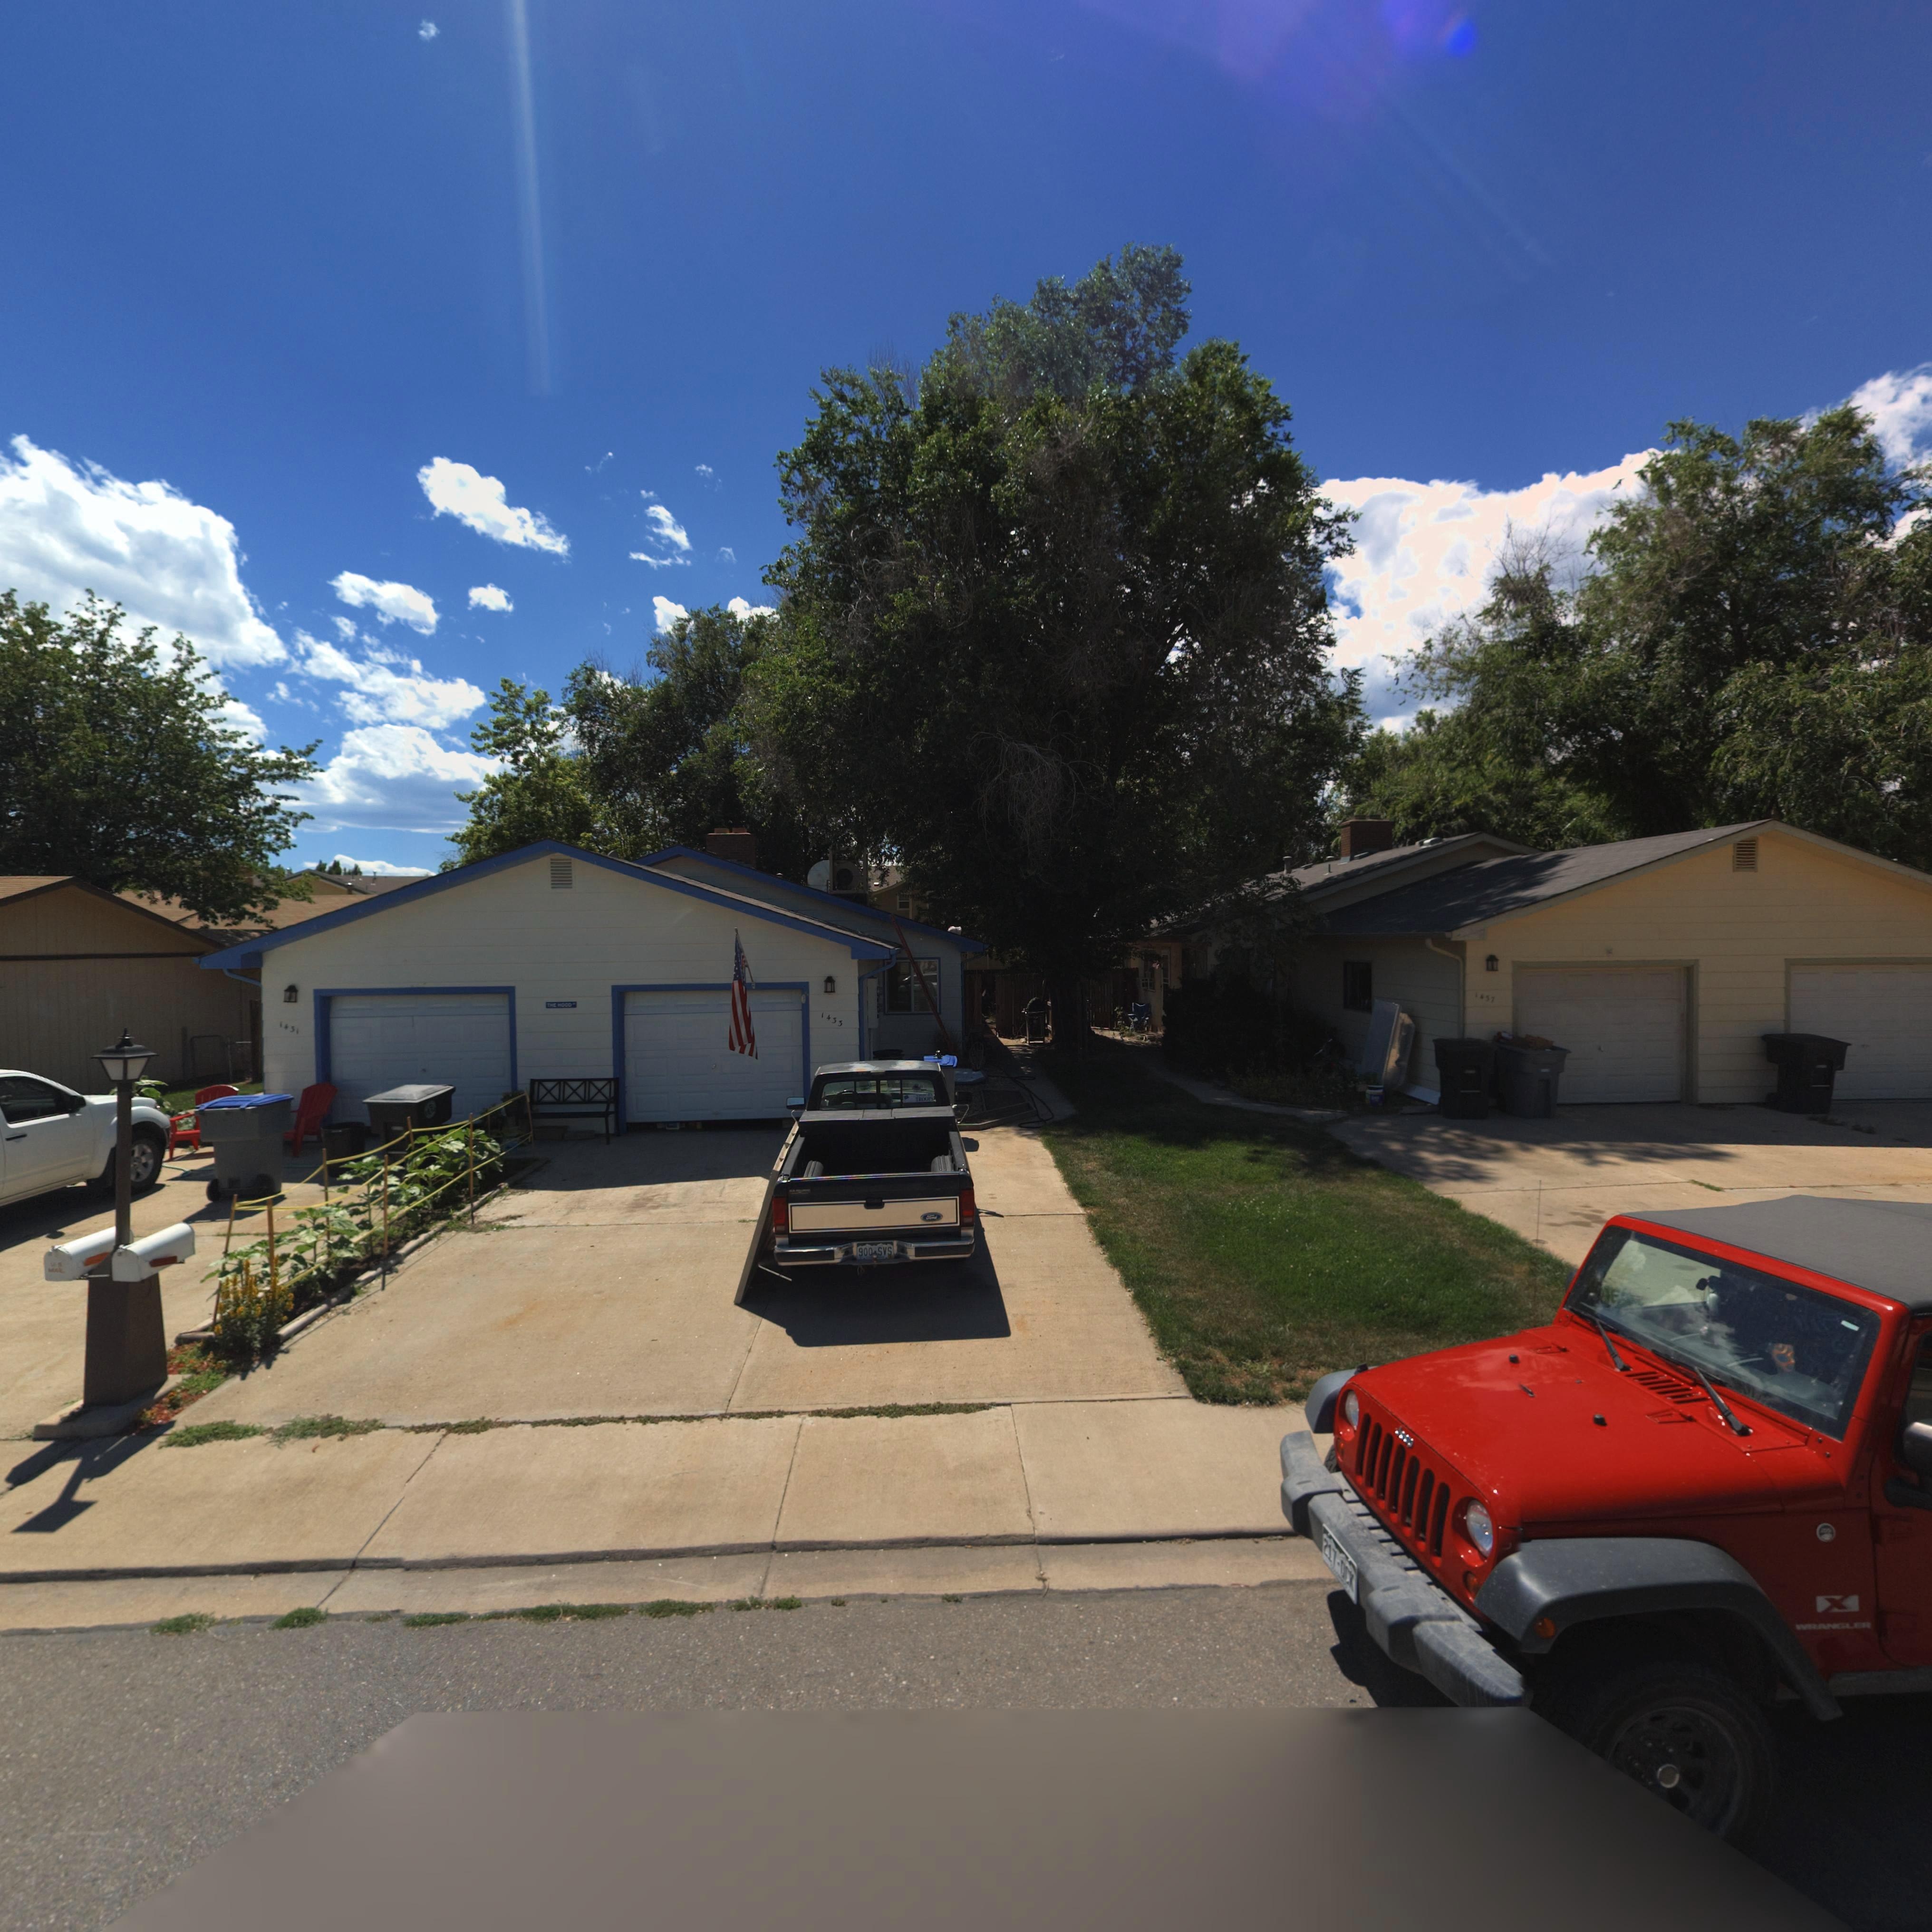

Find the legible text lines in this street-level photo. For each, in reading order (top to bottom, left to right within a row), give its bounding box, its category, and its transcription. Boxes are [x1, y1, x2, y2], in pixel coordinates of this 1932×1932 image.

[1474, 991, 1495, 1004] StreetNumber: 1437
[821, 1012, 843, 1026] StreetNumber: 1433
[279, 1021, 299, 1035] StreetNumber: 1431